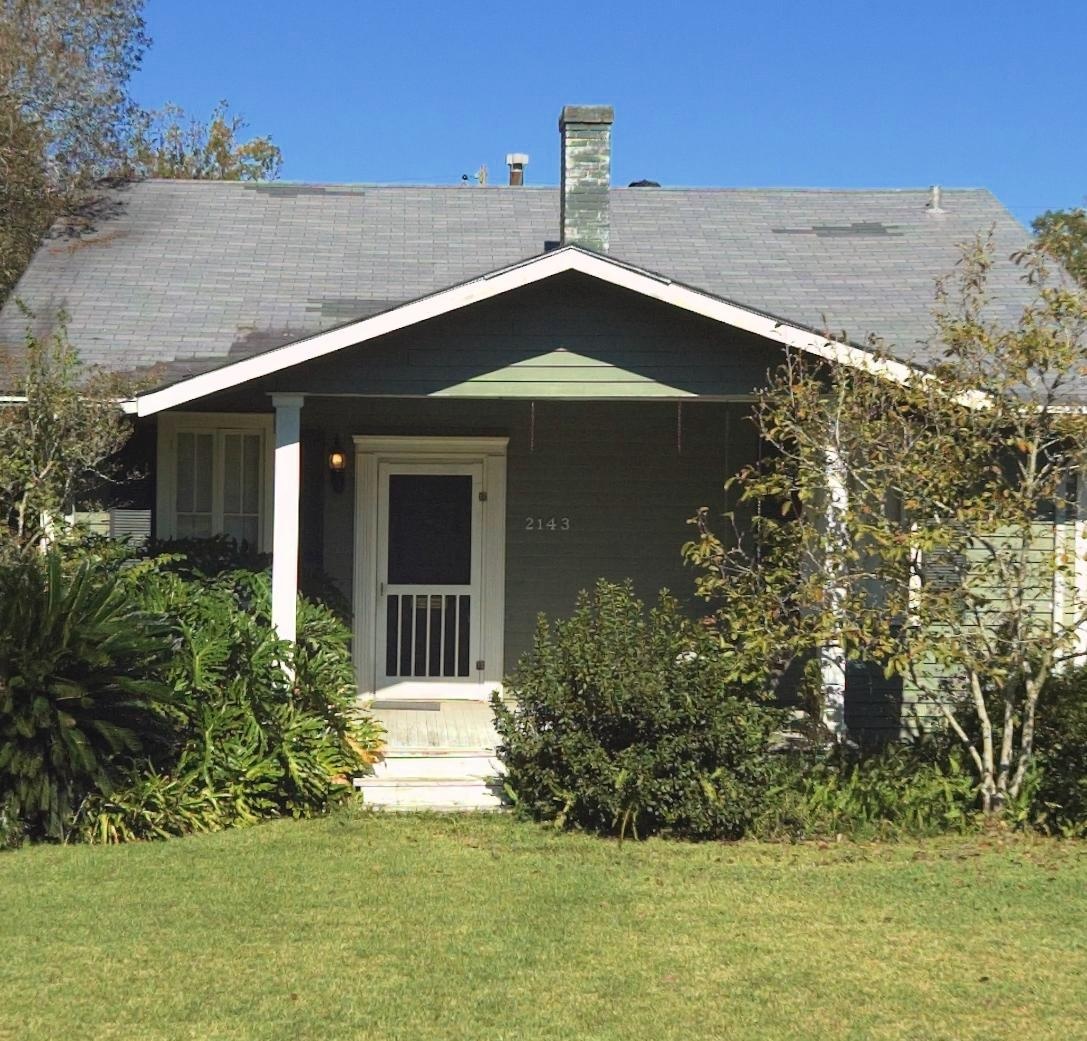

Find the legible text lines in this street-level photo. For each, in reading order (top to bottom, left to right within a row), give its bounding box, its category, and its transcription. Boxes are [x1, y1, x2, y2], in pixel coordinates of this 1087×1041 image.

[523, 516, 571, 532] StreetNumber: 2143